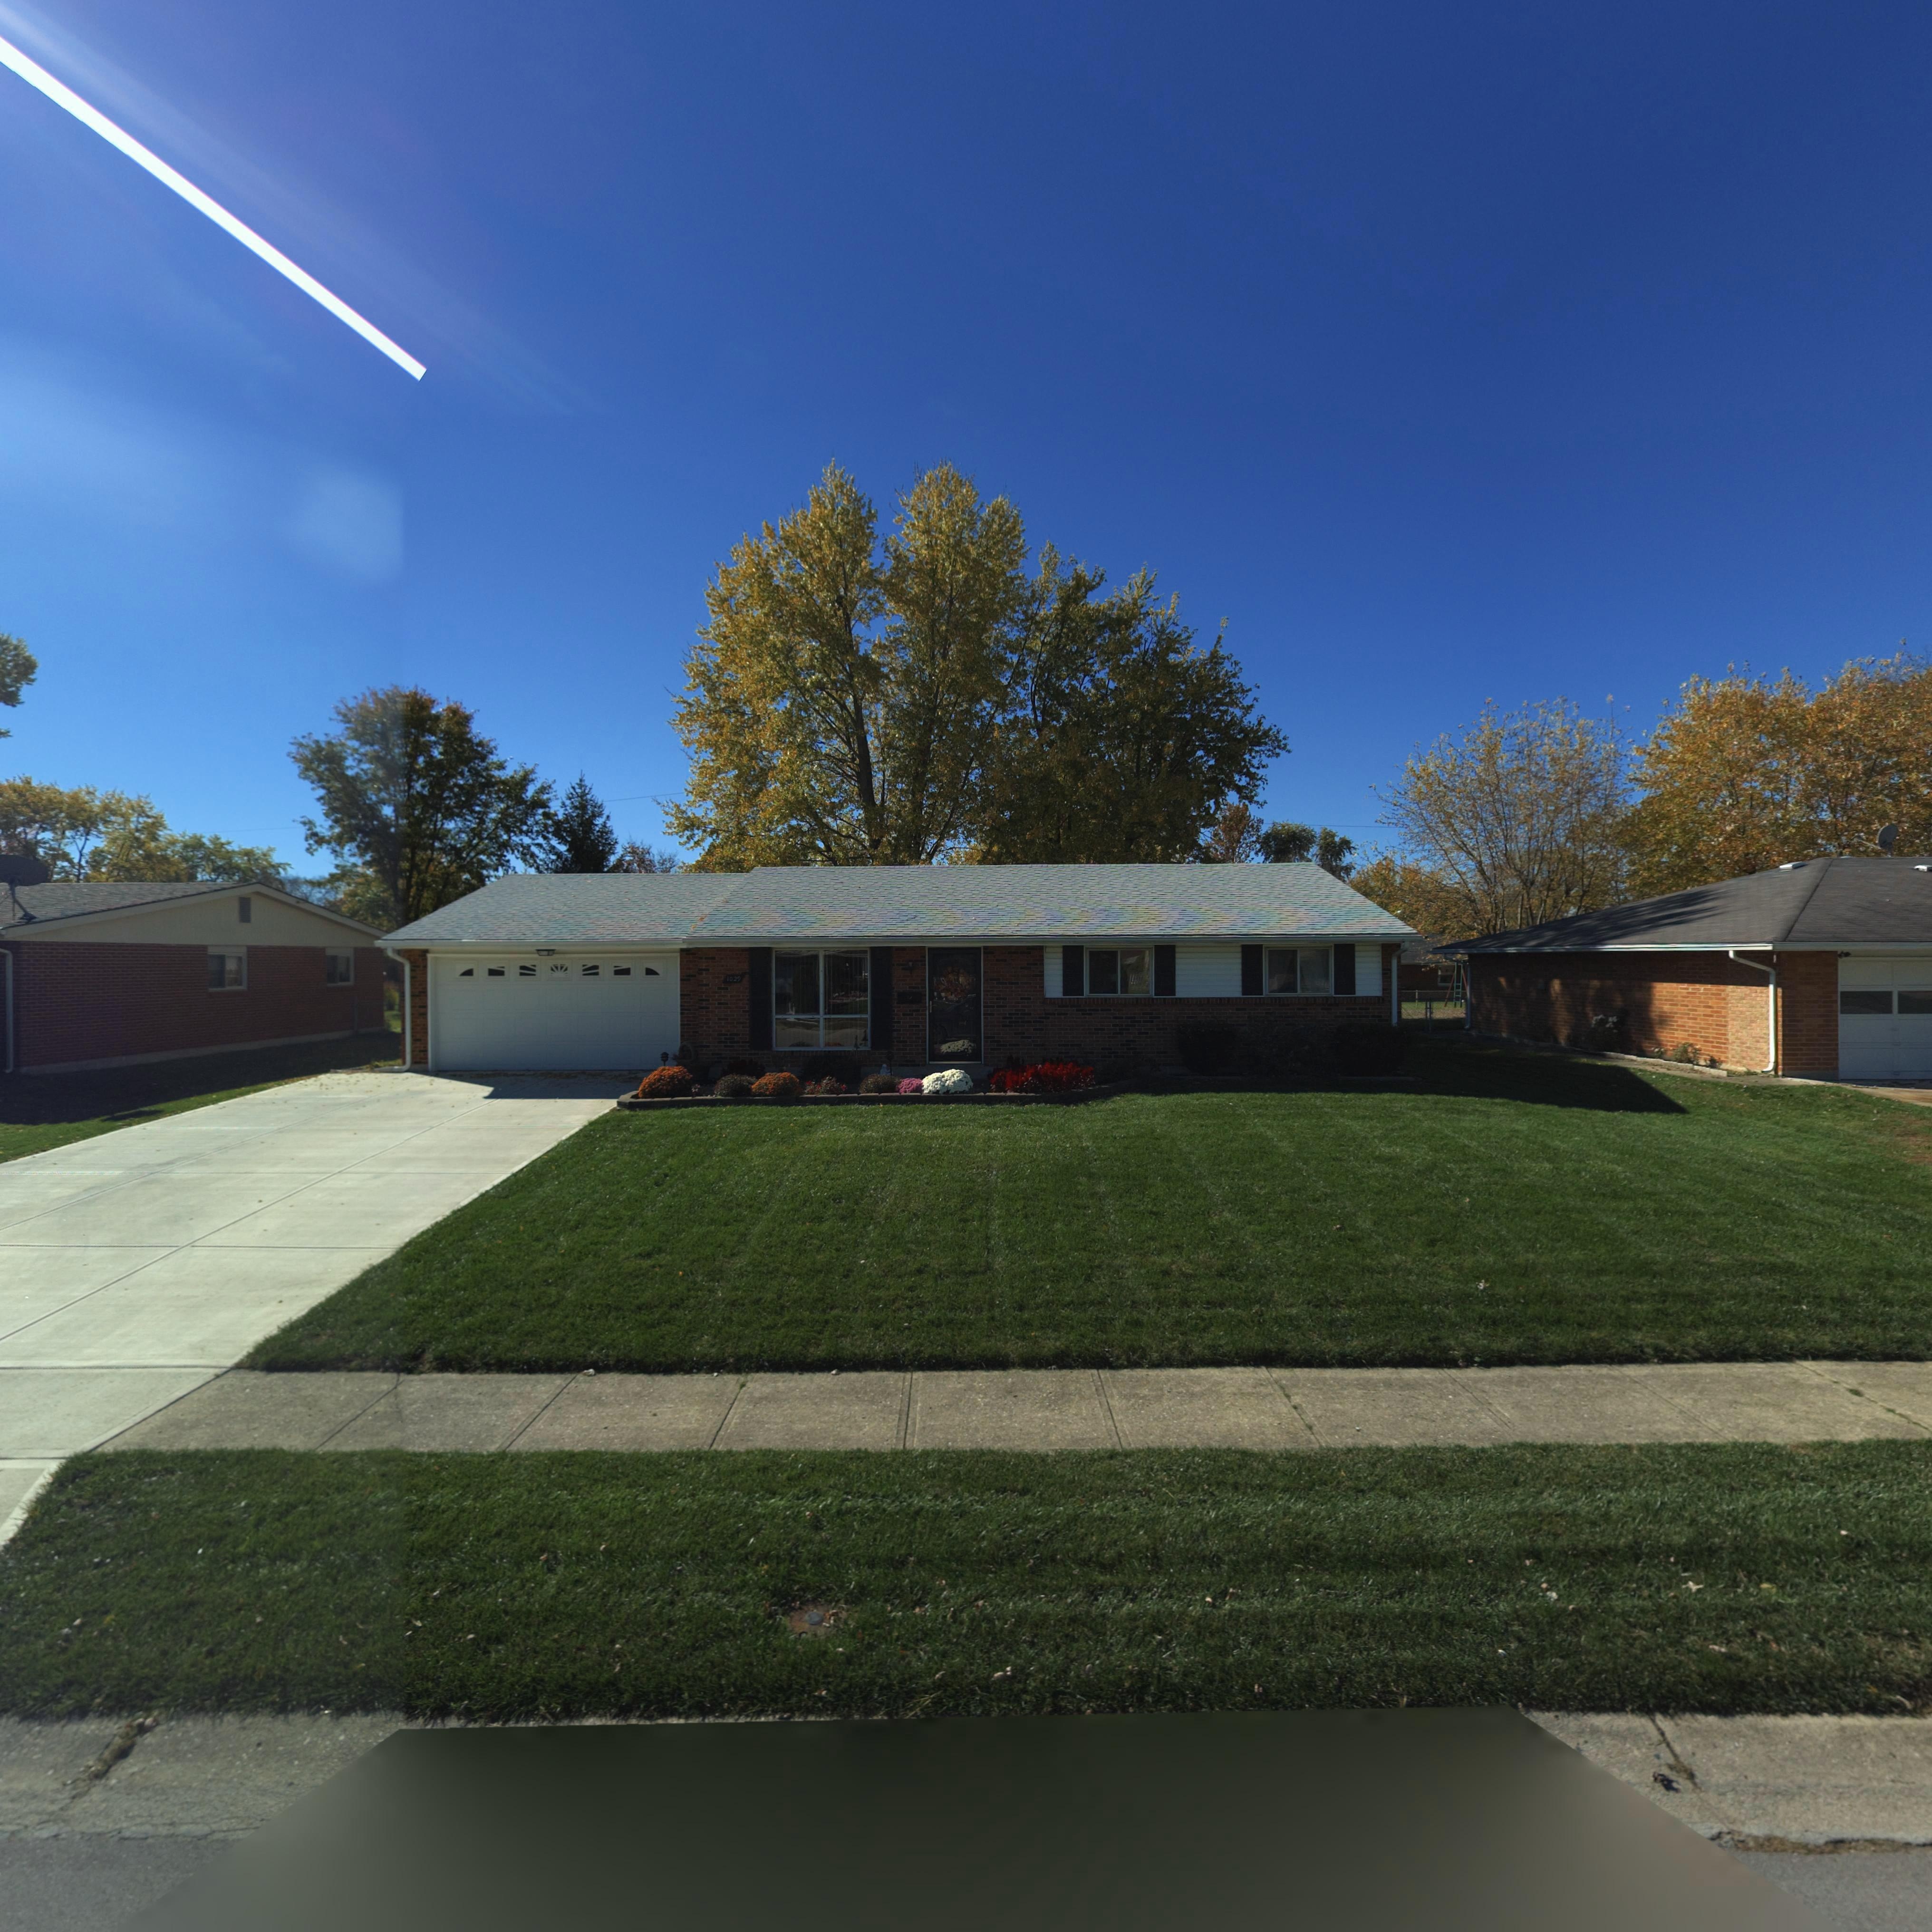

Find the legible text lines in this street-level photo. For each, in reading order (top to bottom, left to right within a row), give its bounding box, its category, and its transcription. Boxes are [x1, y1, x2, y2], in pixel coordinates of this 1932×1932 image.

[726, 975, 742, 983] StreetNumber: 1029